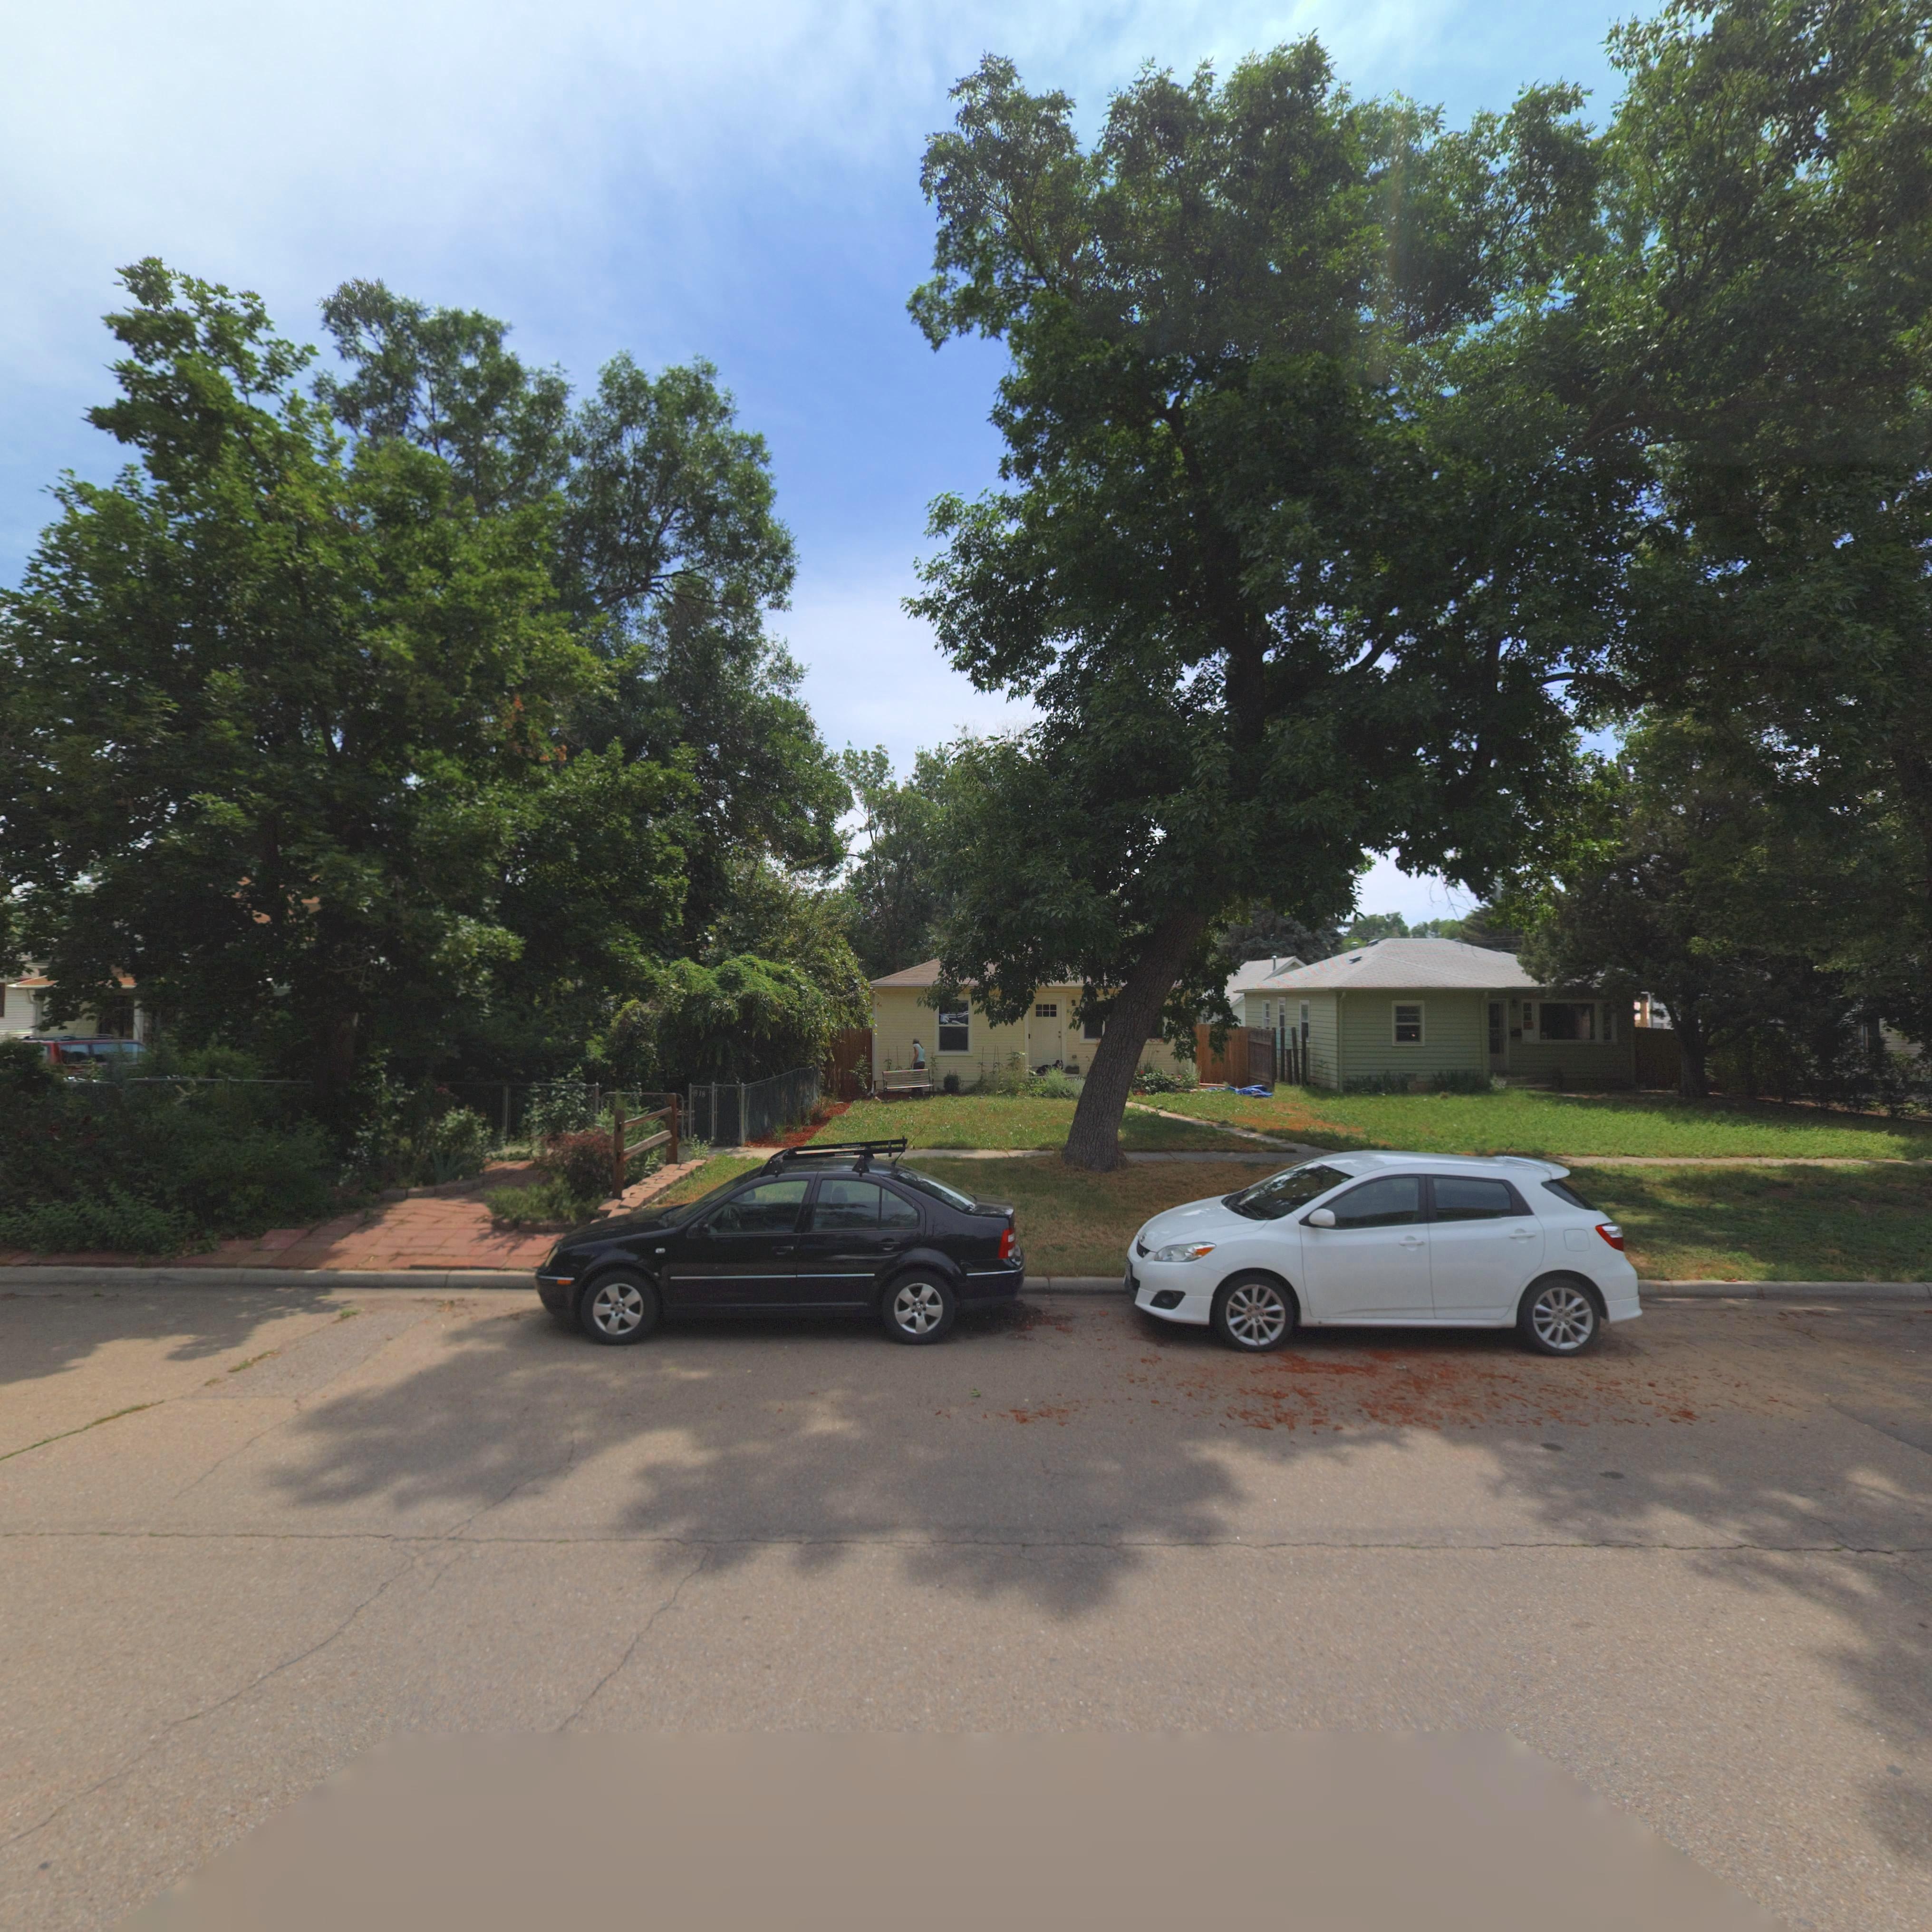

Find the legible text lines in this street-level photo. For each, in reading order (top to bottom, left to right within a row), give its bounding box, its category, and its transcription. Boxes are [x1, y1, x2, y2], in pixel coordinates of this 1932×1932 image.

[1066, 1008, 1072, 1014] StreetNumber: 81
[693, 1089, 706, 1098] StreetNumber: 818